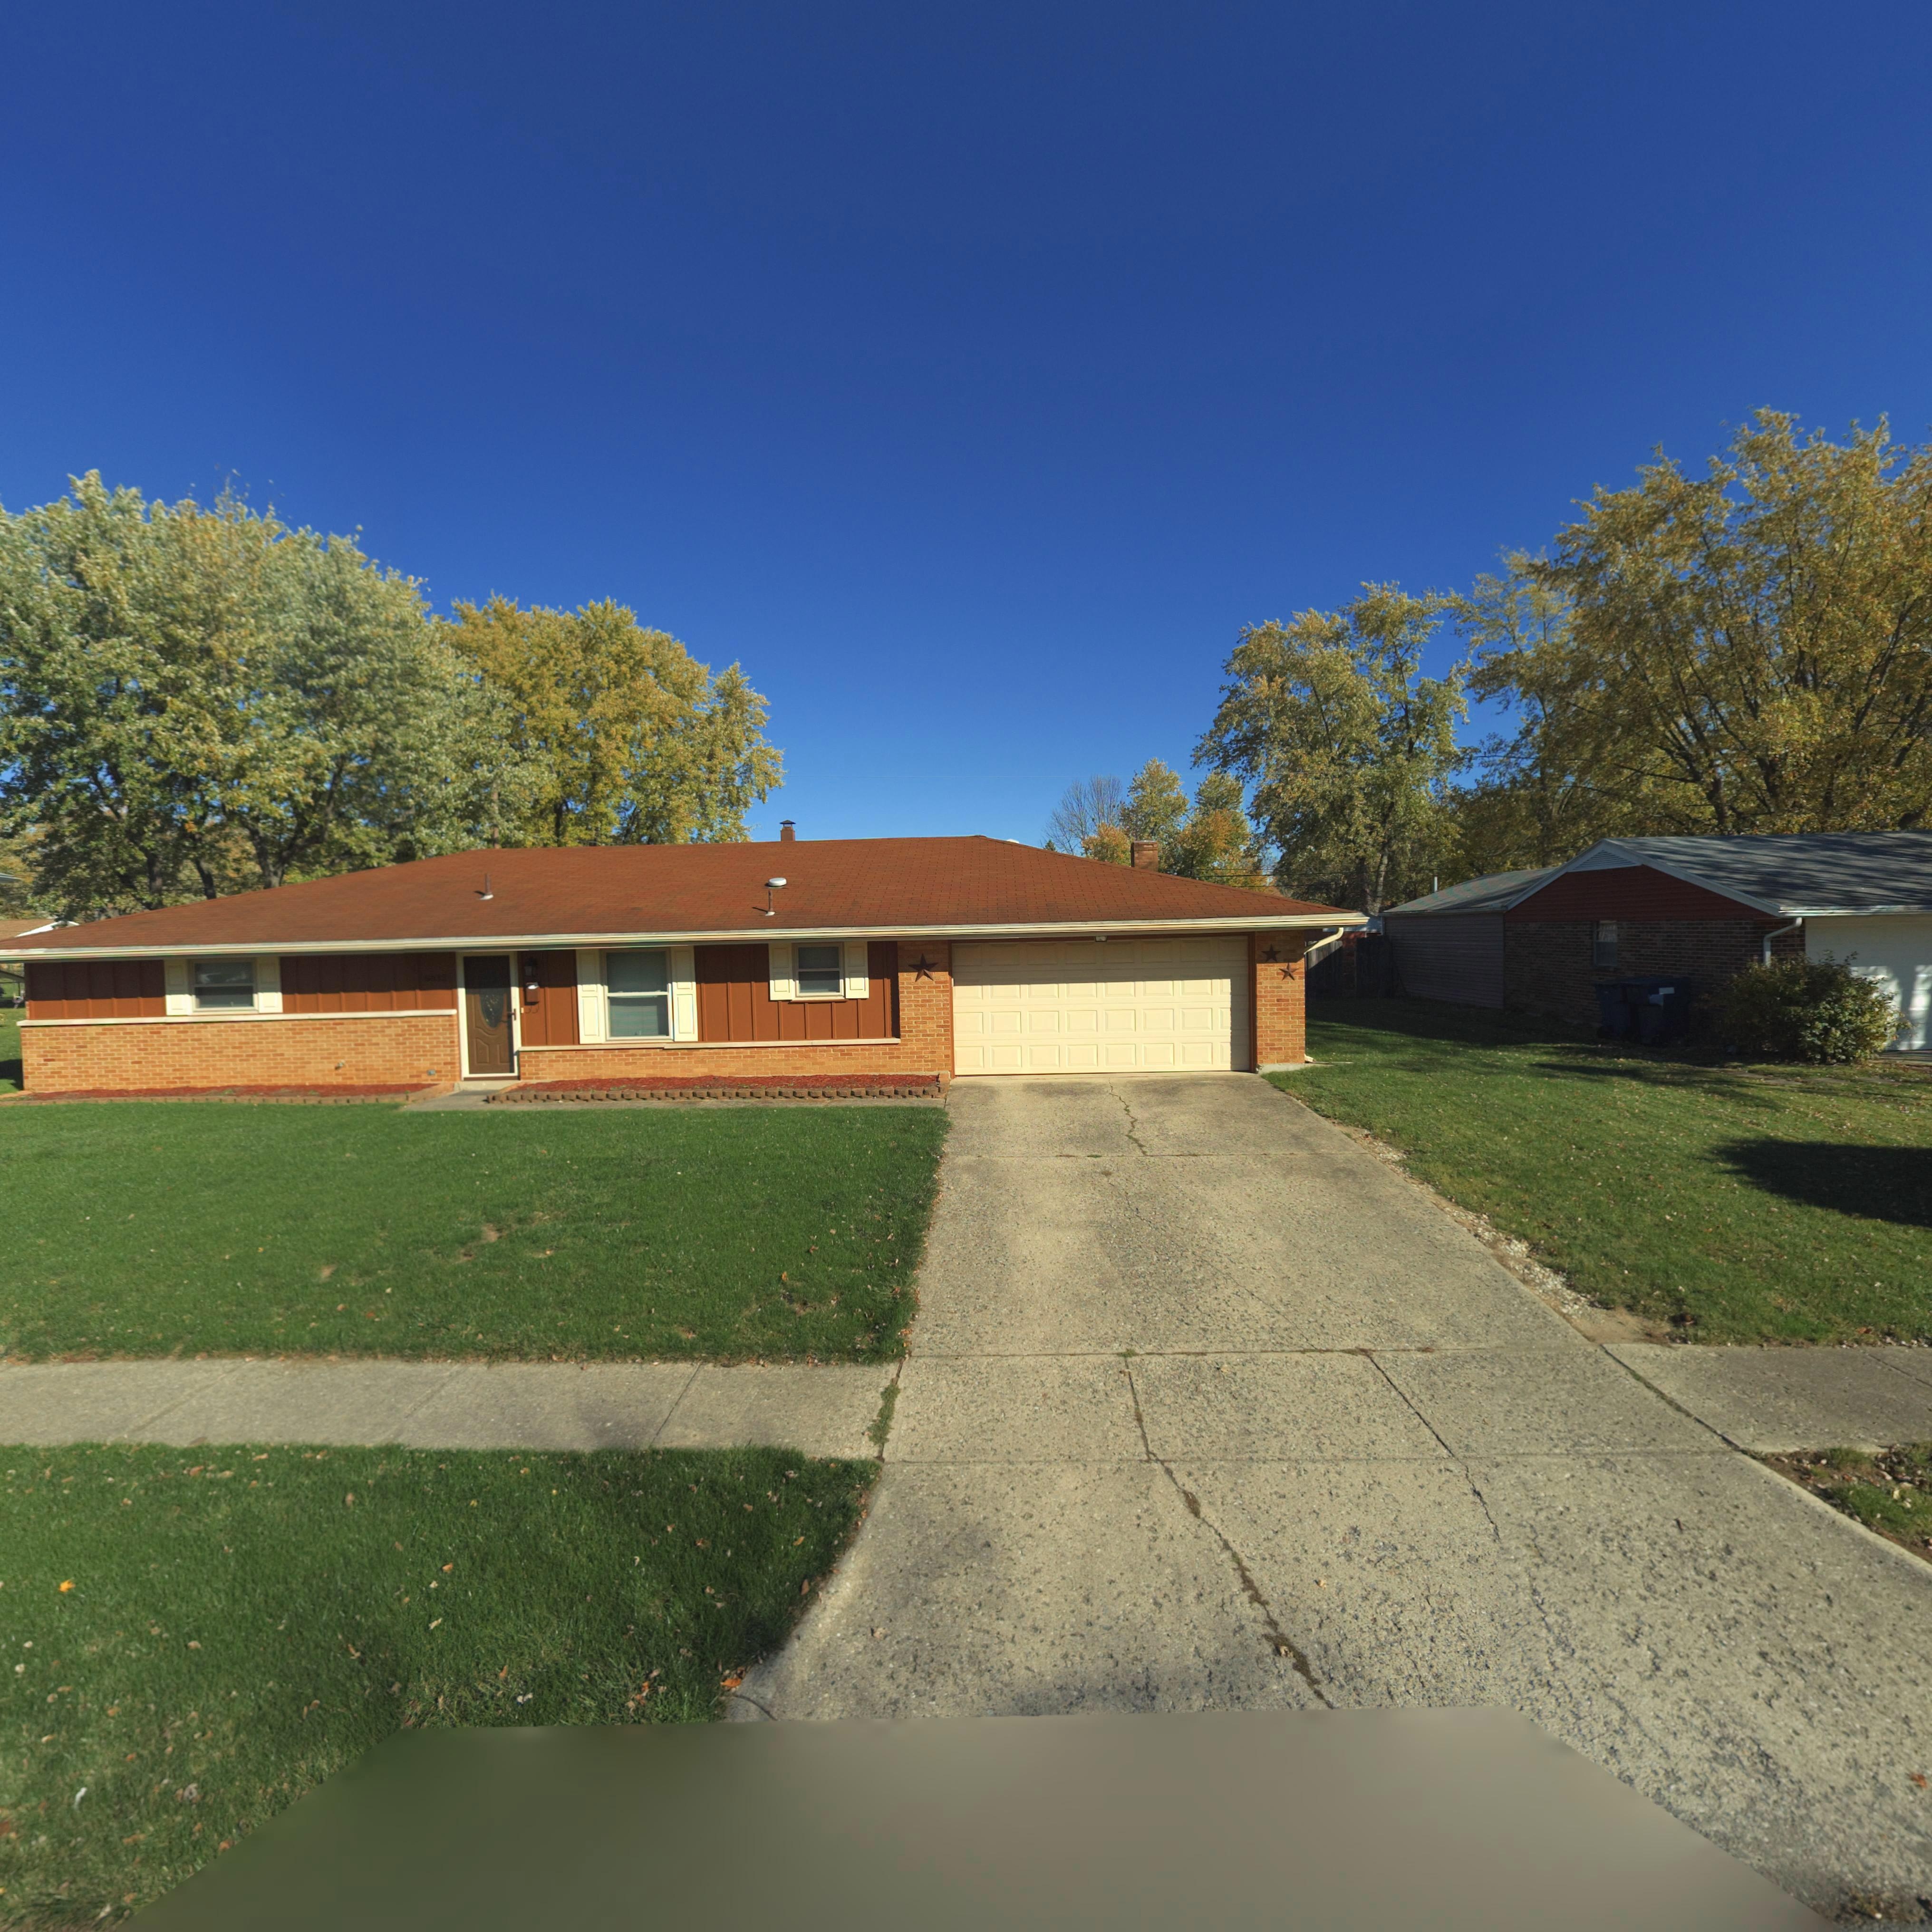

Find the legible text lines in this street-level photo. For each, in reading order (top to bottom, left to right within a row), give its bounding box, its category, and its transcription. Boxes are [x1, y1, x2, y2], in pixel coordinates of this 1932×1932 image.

[424, 973, 448, 983] StreetNumber: 6*32